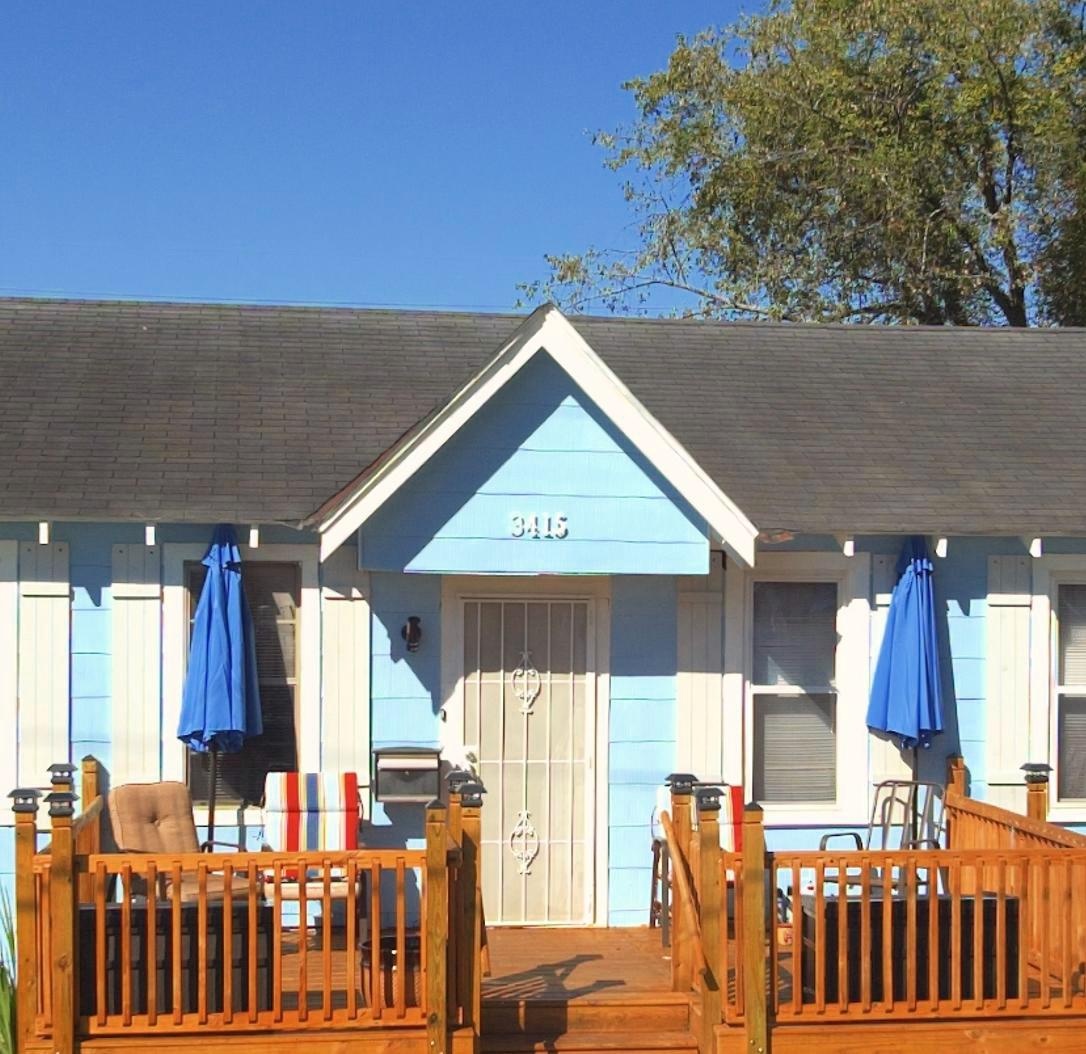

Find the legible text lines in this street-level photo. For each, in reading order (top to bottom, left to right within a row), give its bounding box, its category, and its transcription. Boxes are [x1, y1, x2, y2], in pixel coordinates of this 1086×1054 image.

[511, 512, 568, 538] StreetNumber: 3415